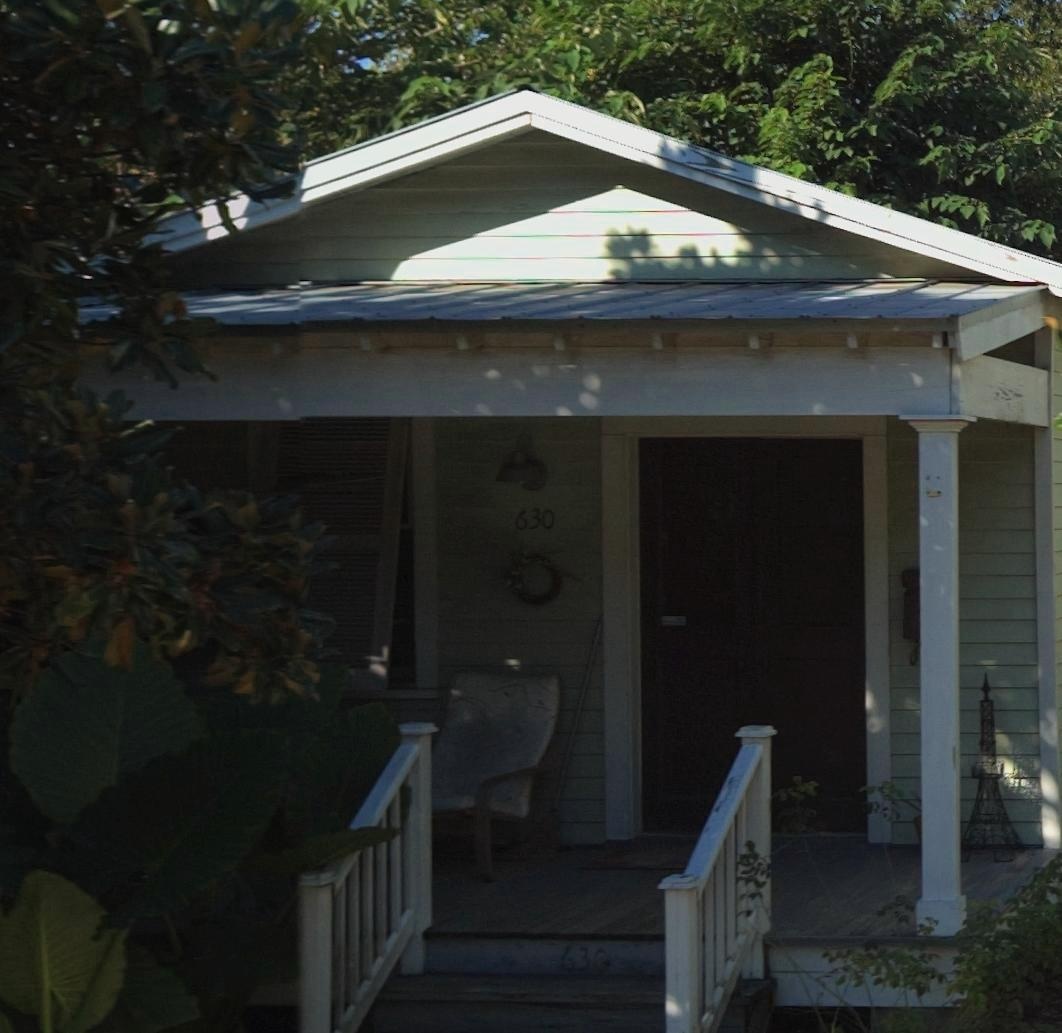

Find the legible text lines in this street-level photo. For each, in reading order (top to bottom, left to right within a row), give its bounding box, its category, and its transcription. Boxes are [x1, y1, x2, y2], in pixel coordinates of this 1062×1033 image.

[512, 506, 557, 532] StreetNumber: 630
[557, 937, 614, 975] StreetNumber: 630